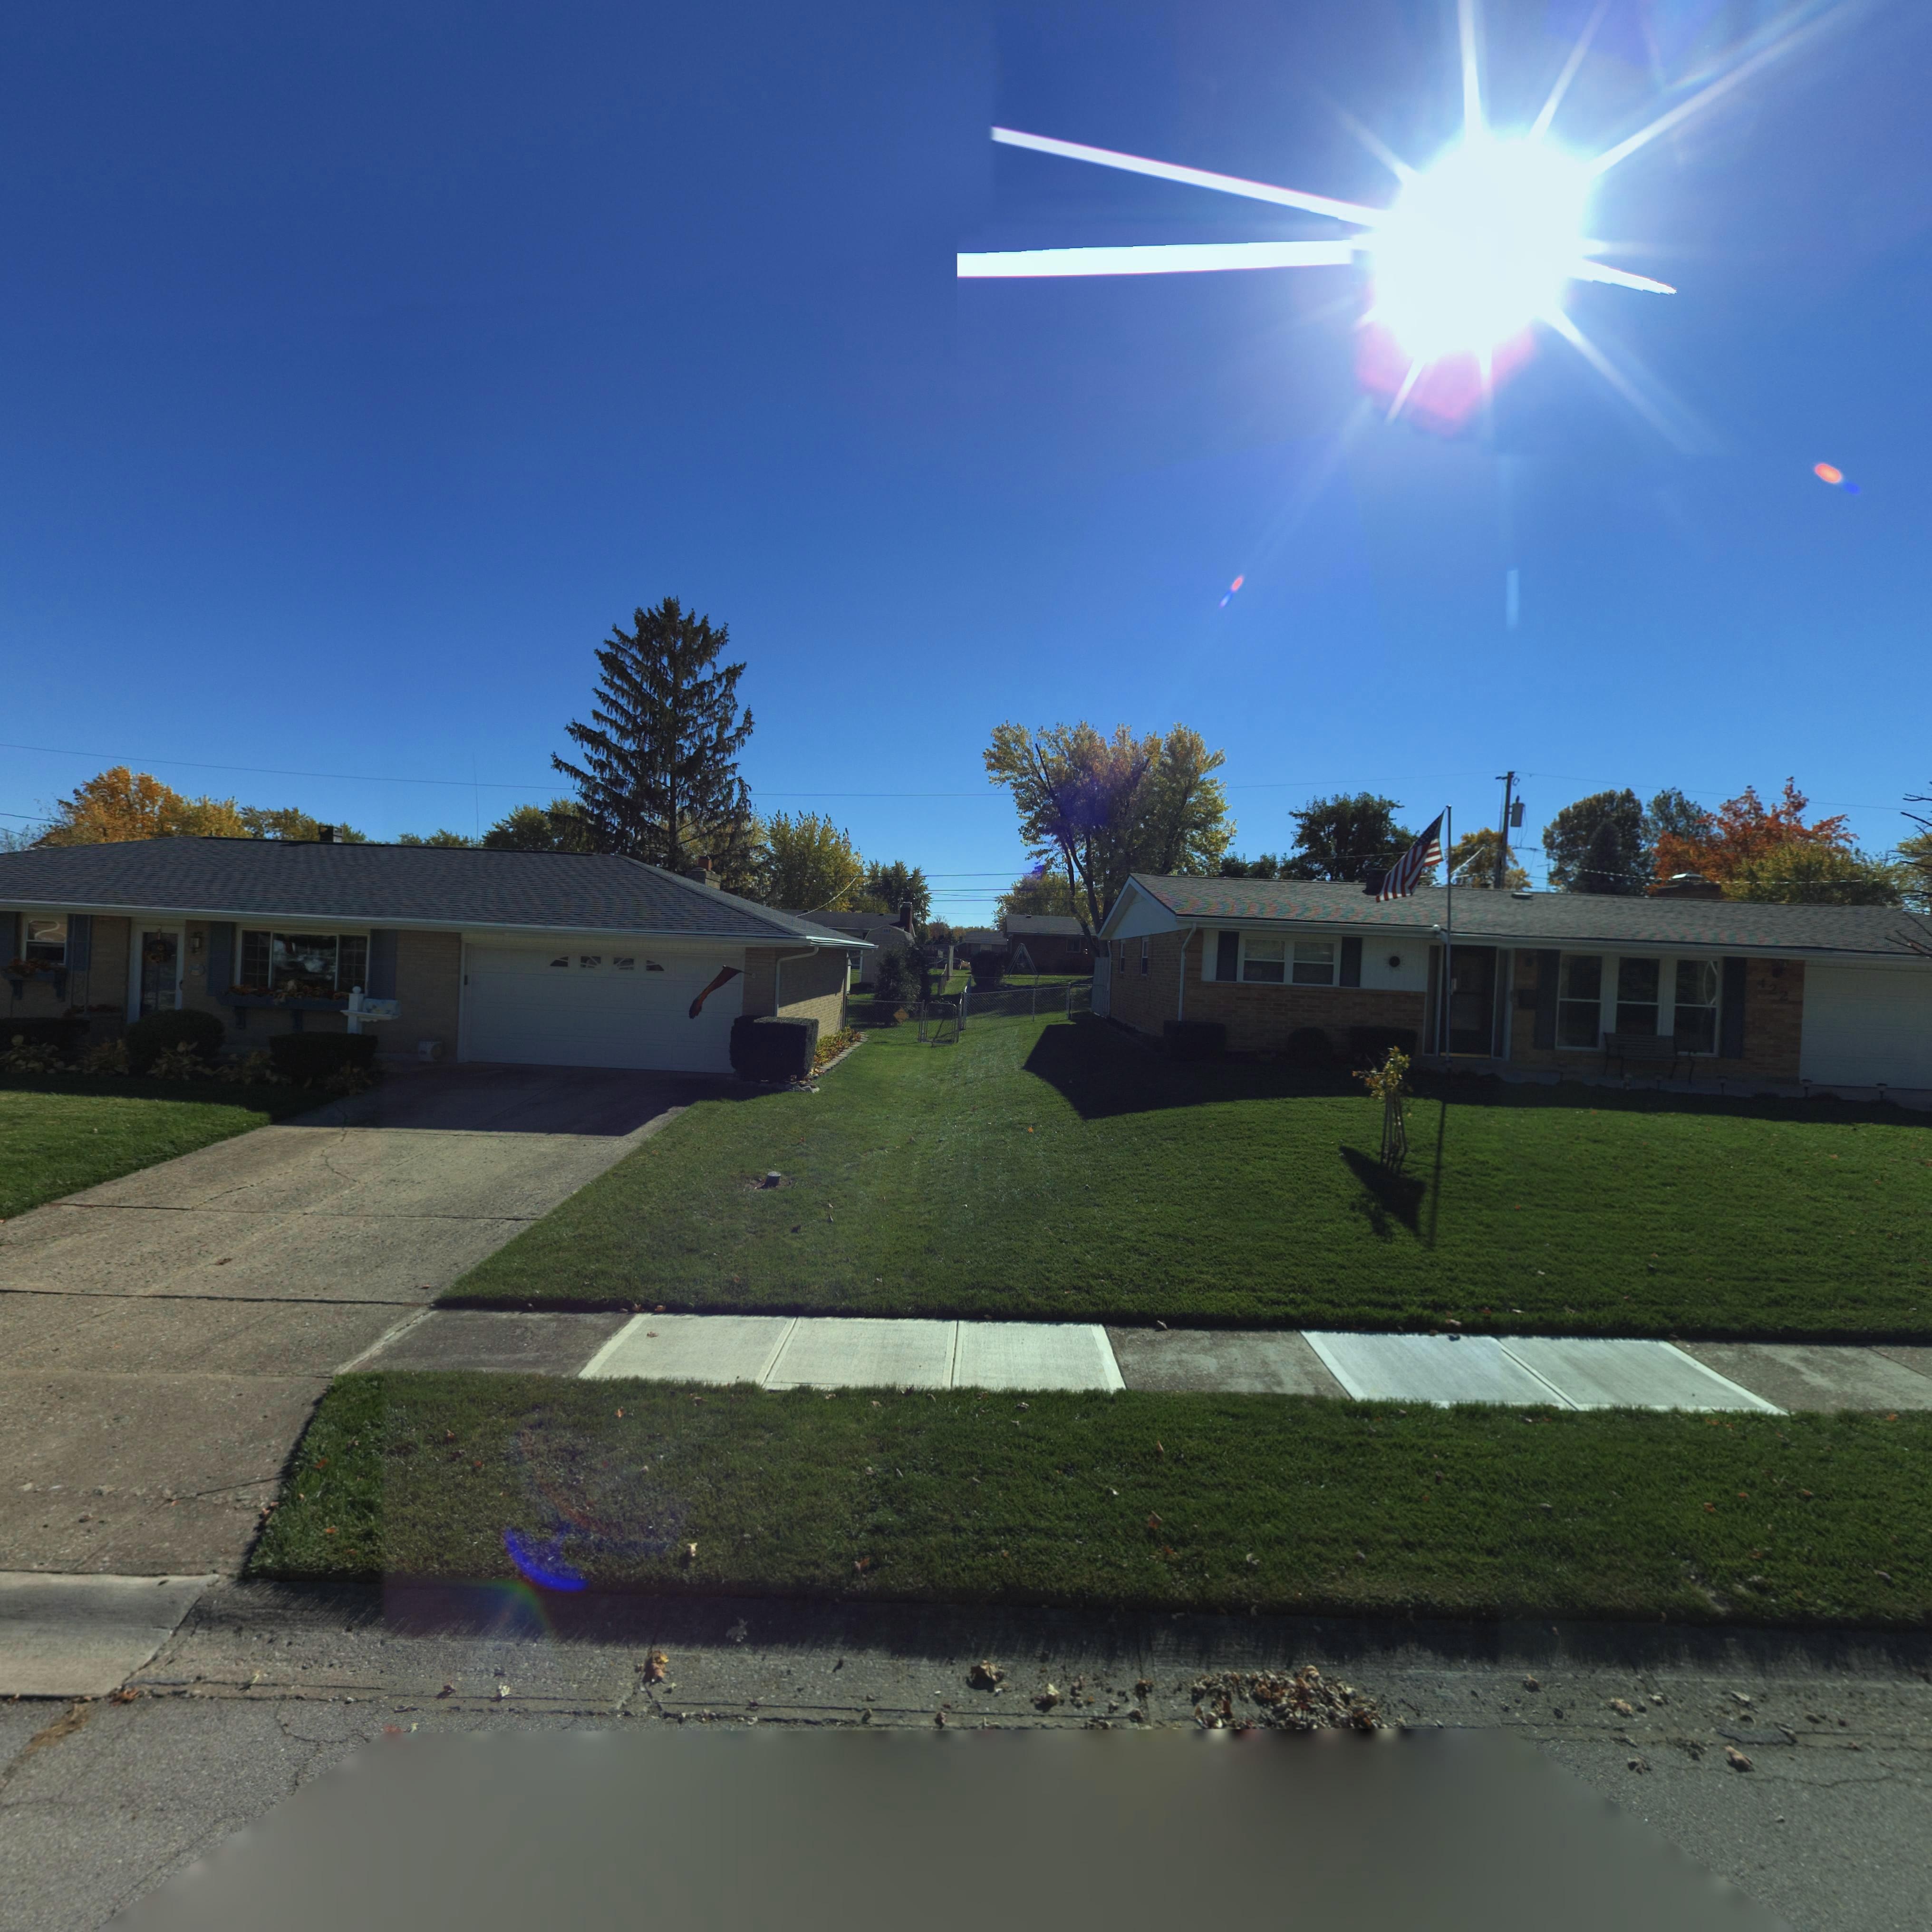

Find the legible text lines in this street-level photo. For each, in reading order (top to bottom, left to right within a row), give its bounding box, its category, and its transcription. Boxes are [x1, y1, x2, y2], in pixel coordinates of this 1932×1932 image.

[1756, 976, 1791, 1003] StreetNumber: 422